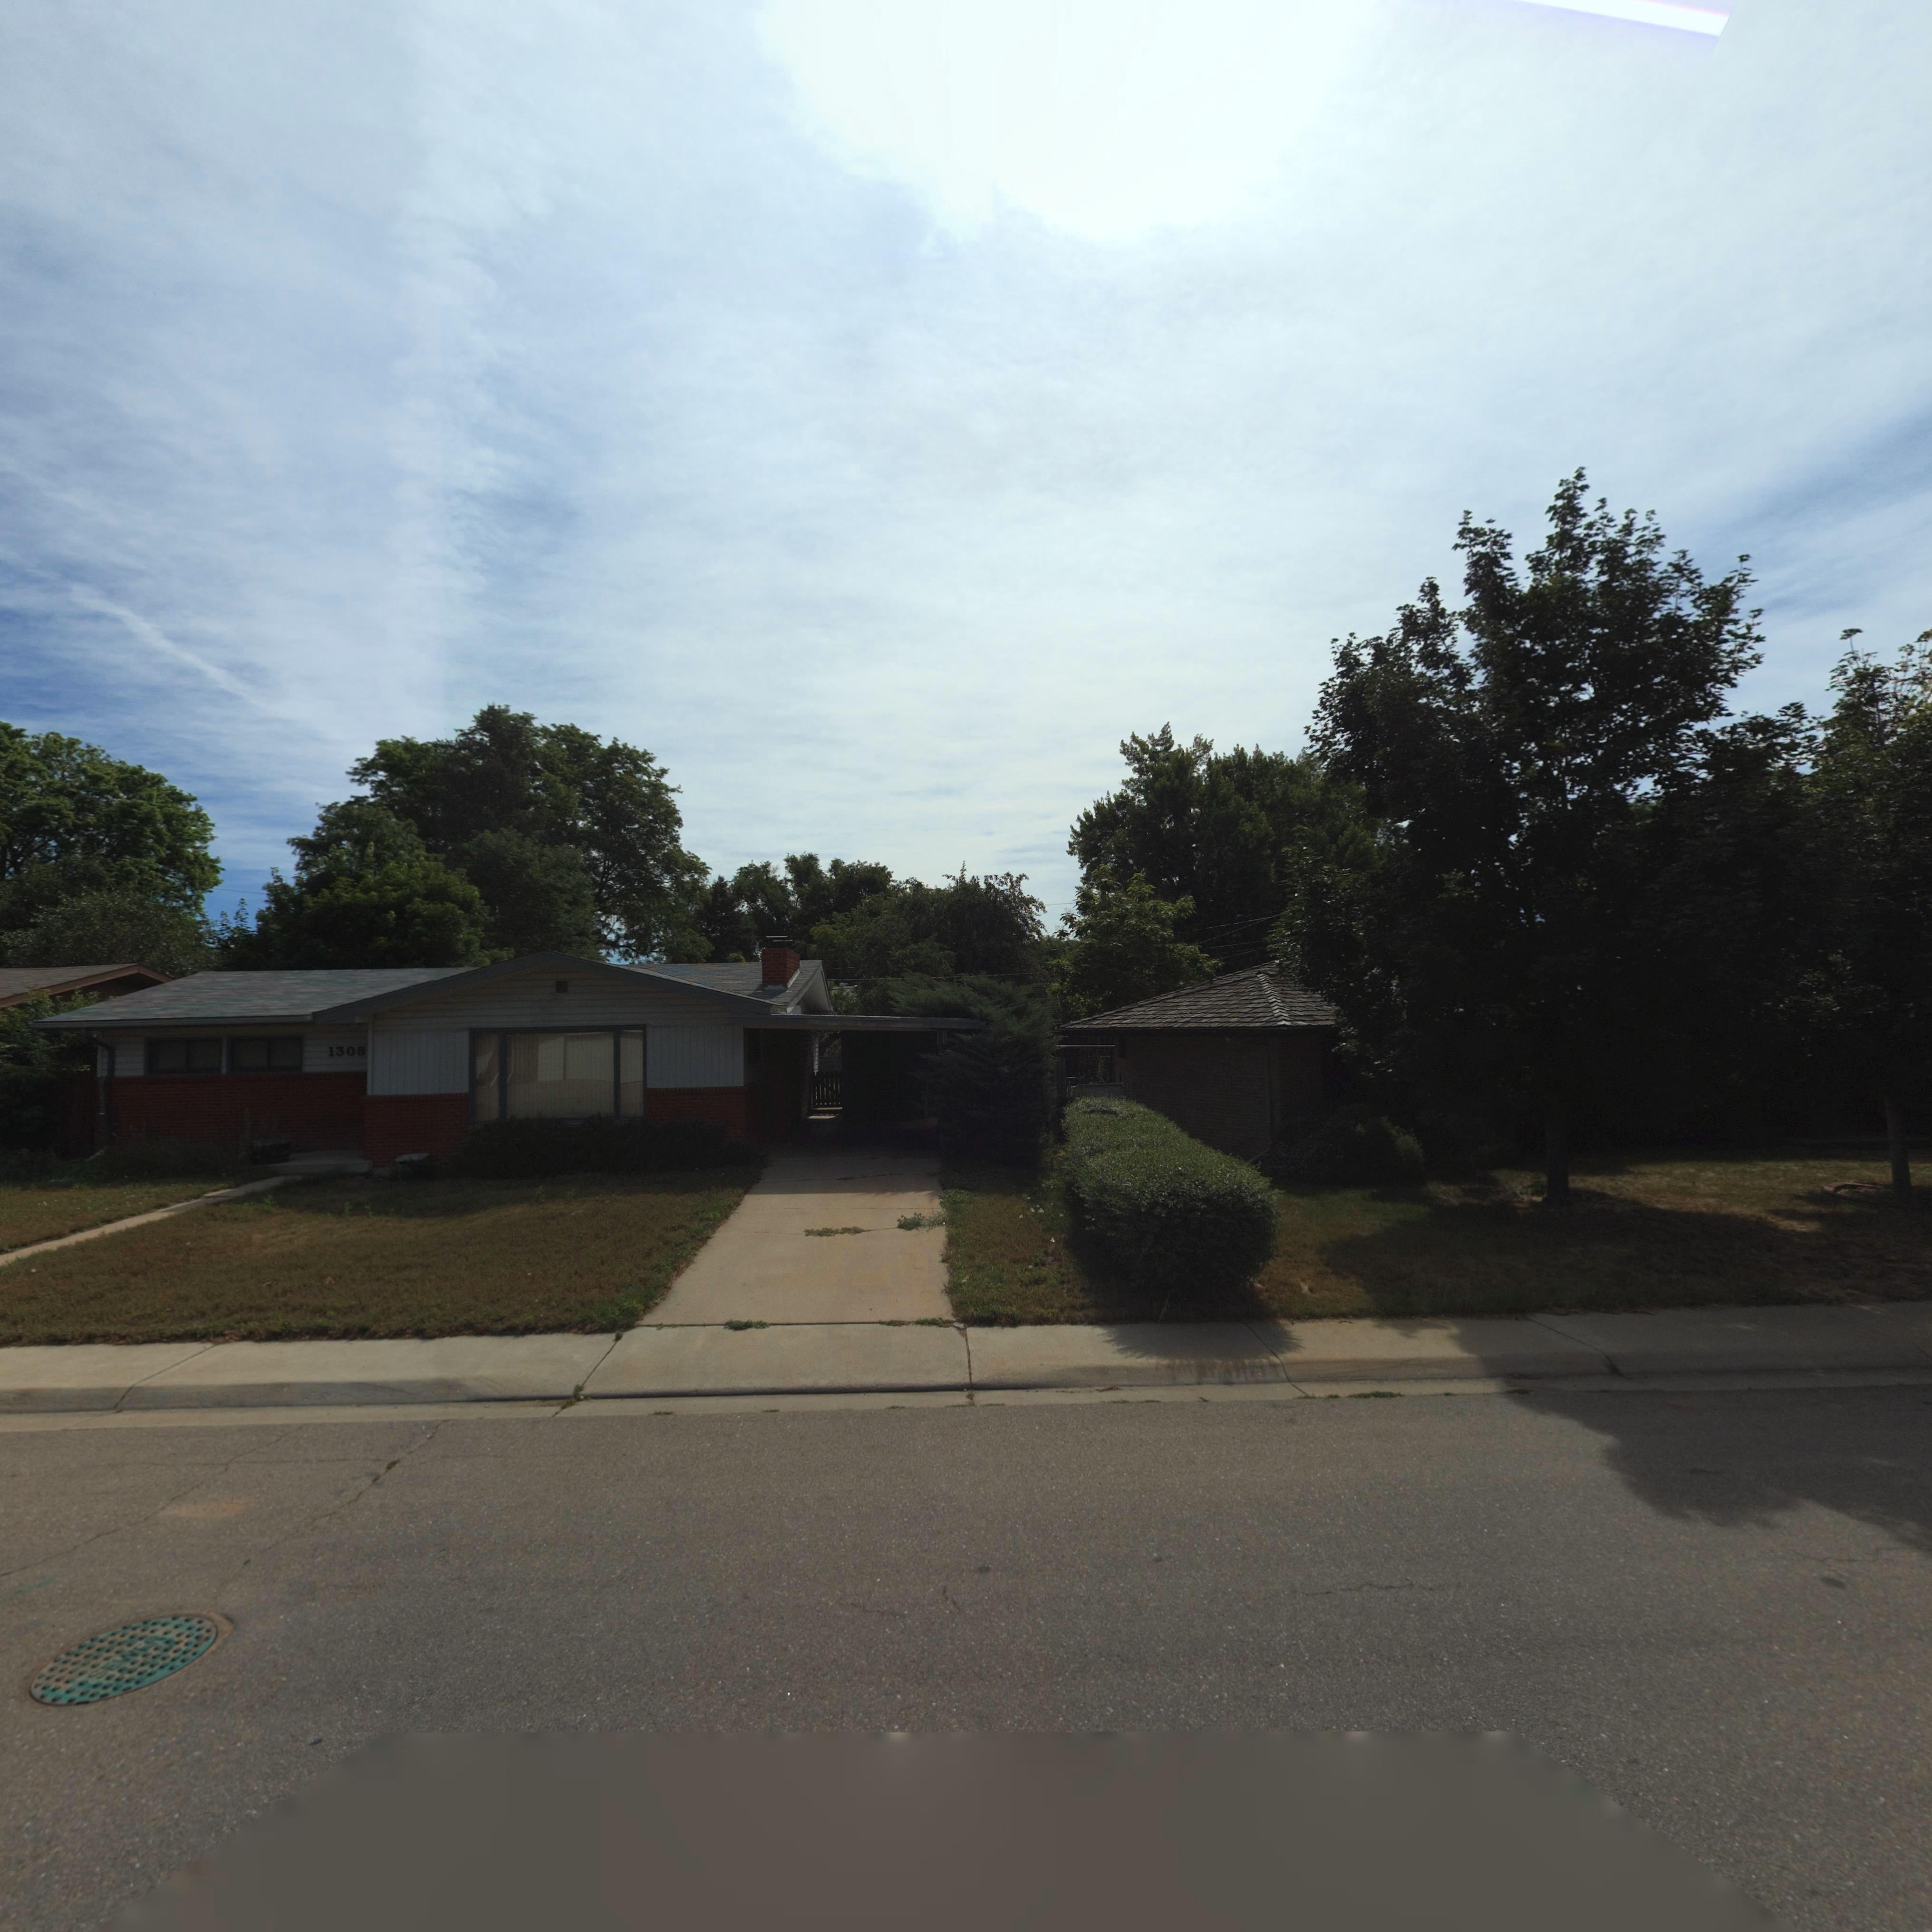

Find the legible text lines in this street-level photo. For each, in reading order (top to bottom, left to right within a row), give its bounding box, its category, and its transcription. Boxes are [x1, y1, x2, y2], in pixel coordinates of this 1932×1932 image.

[328, 1045, 365, 1057] StreetNumber: 1308